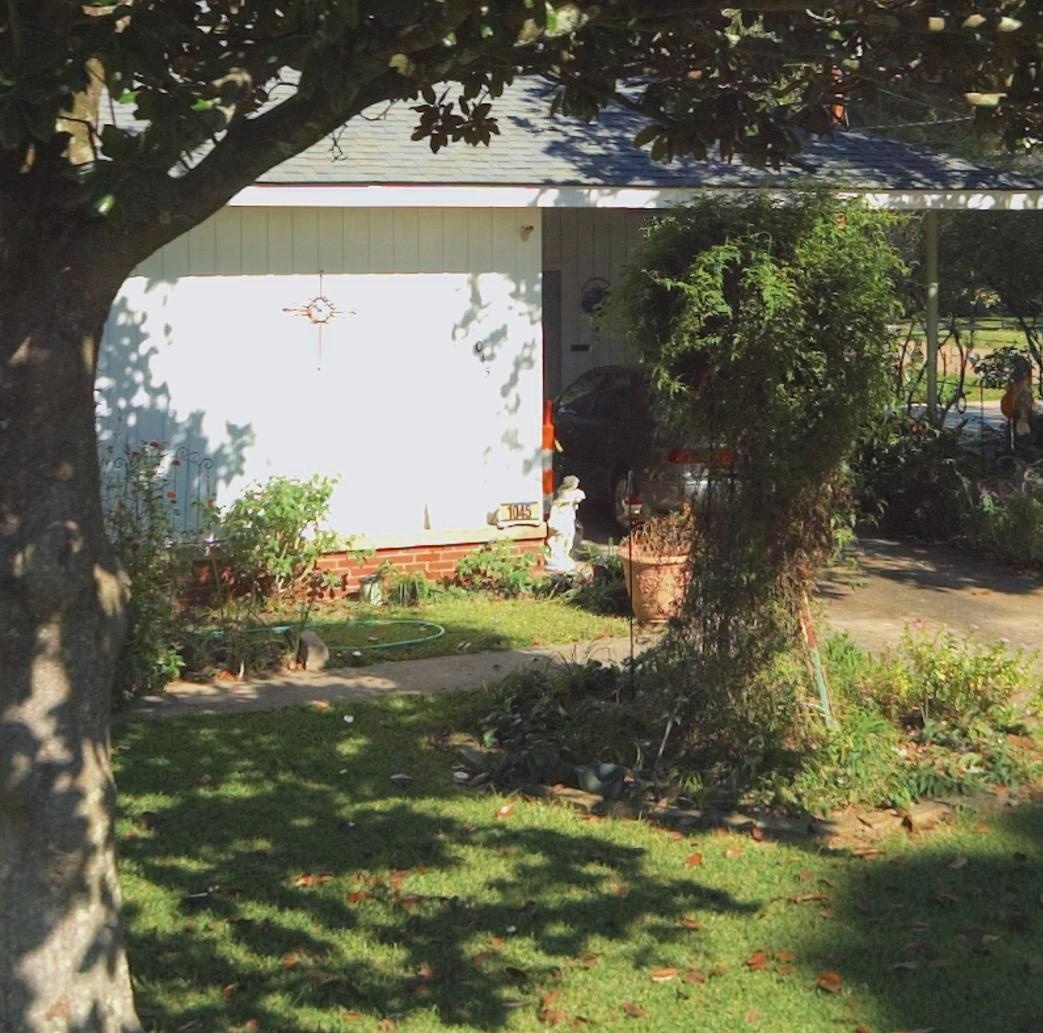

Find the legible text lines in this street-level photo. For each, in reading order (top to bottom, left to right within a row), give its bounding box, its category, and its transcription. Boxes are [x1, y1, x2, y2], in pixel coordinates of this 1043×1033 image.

[507, 503, 532, 520] StreetNumber: 1045